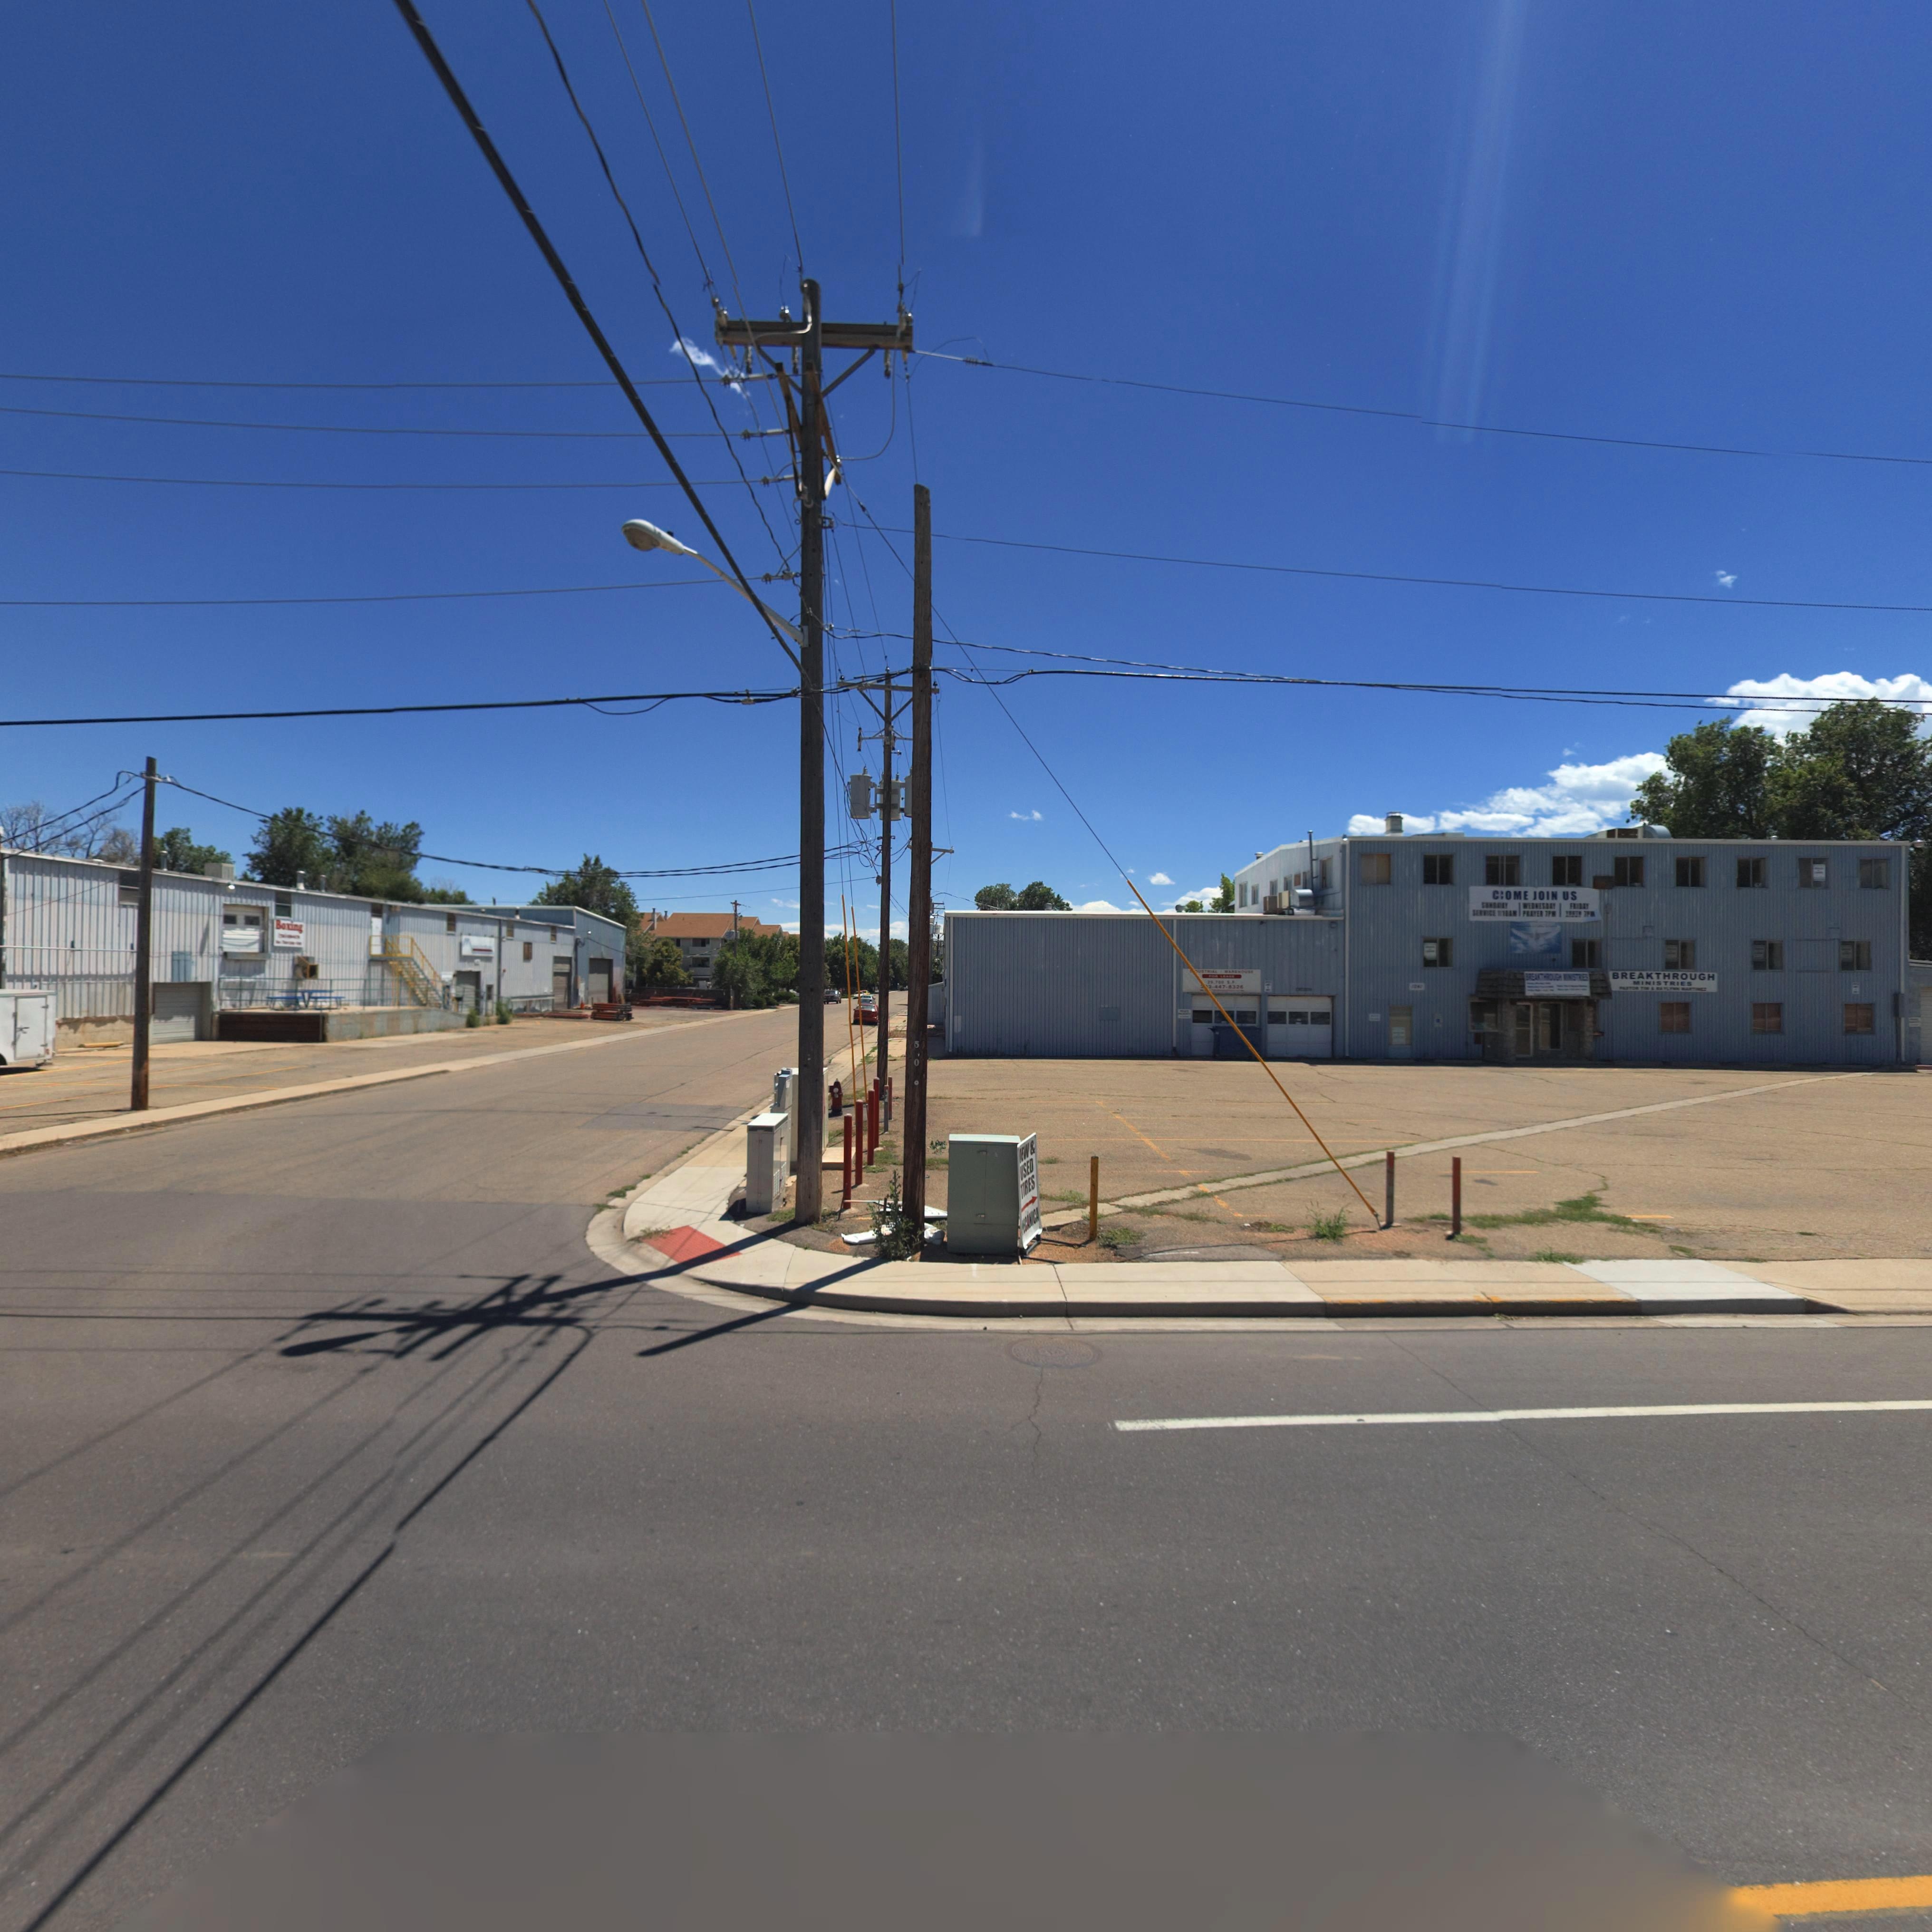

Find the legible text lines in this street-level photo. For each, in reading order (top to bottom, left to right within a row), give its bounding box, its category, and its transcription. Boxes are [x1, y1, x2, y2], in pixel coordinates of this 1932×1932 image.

[462, 937, 472, 947] BusinessName: M
[1524, 973, 1588, 981] BusinessName: BREAKTHROUGH MINISTRIES
[1611, 971, 1714, 981] BusinessName: BREAKTHROUGH
[1410, 984, 1423, 989] StreetNumber: 1***
[1633, 980, 1691, 986] BusinessName: MINISTRIES